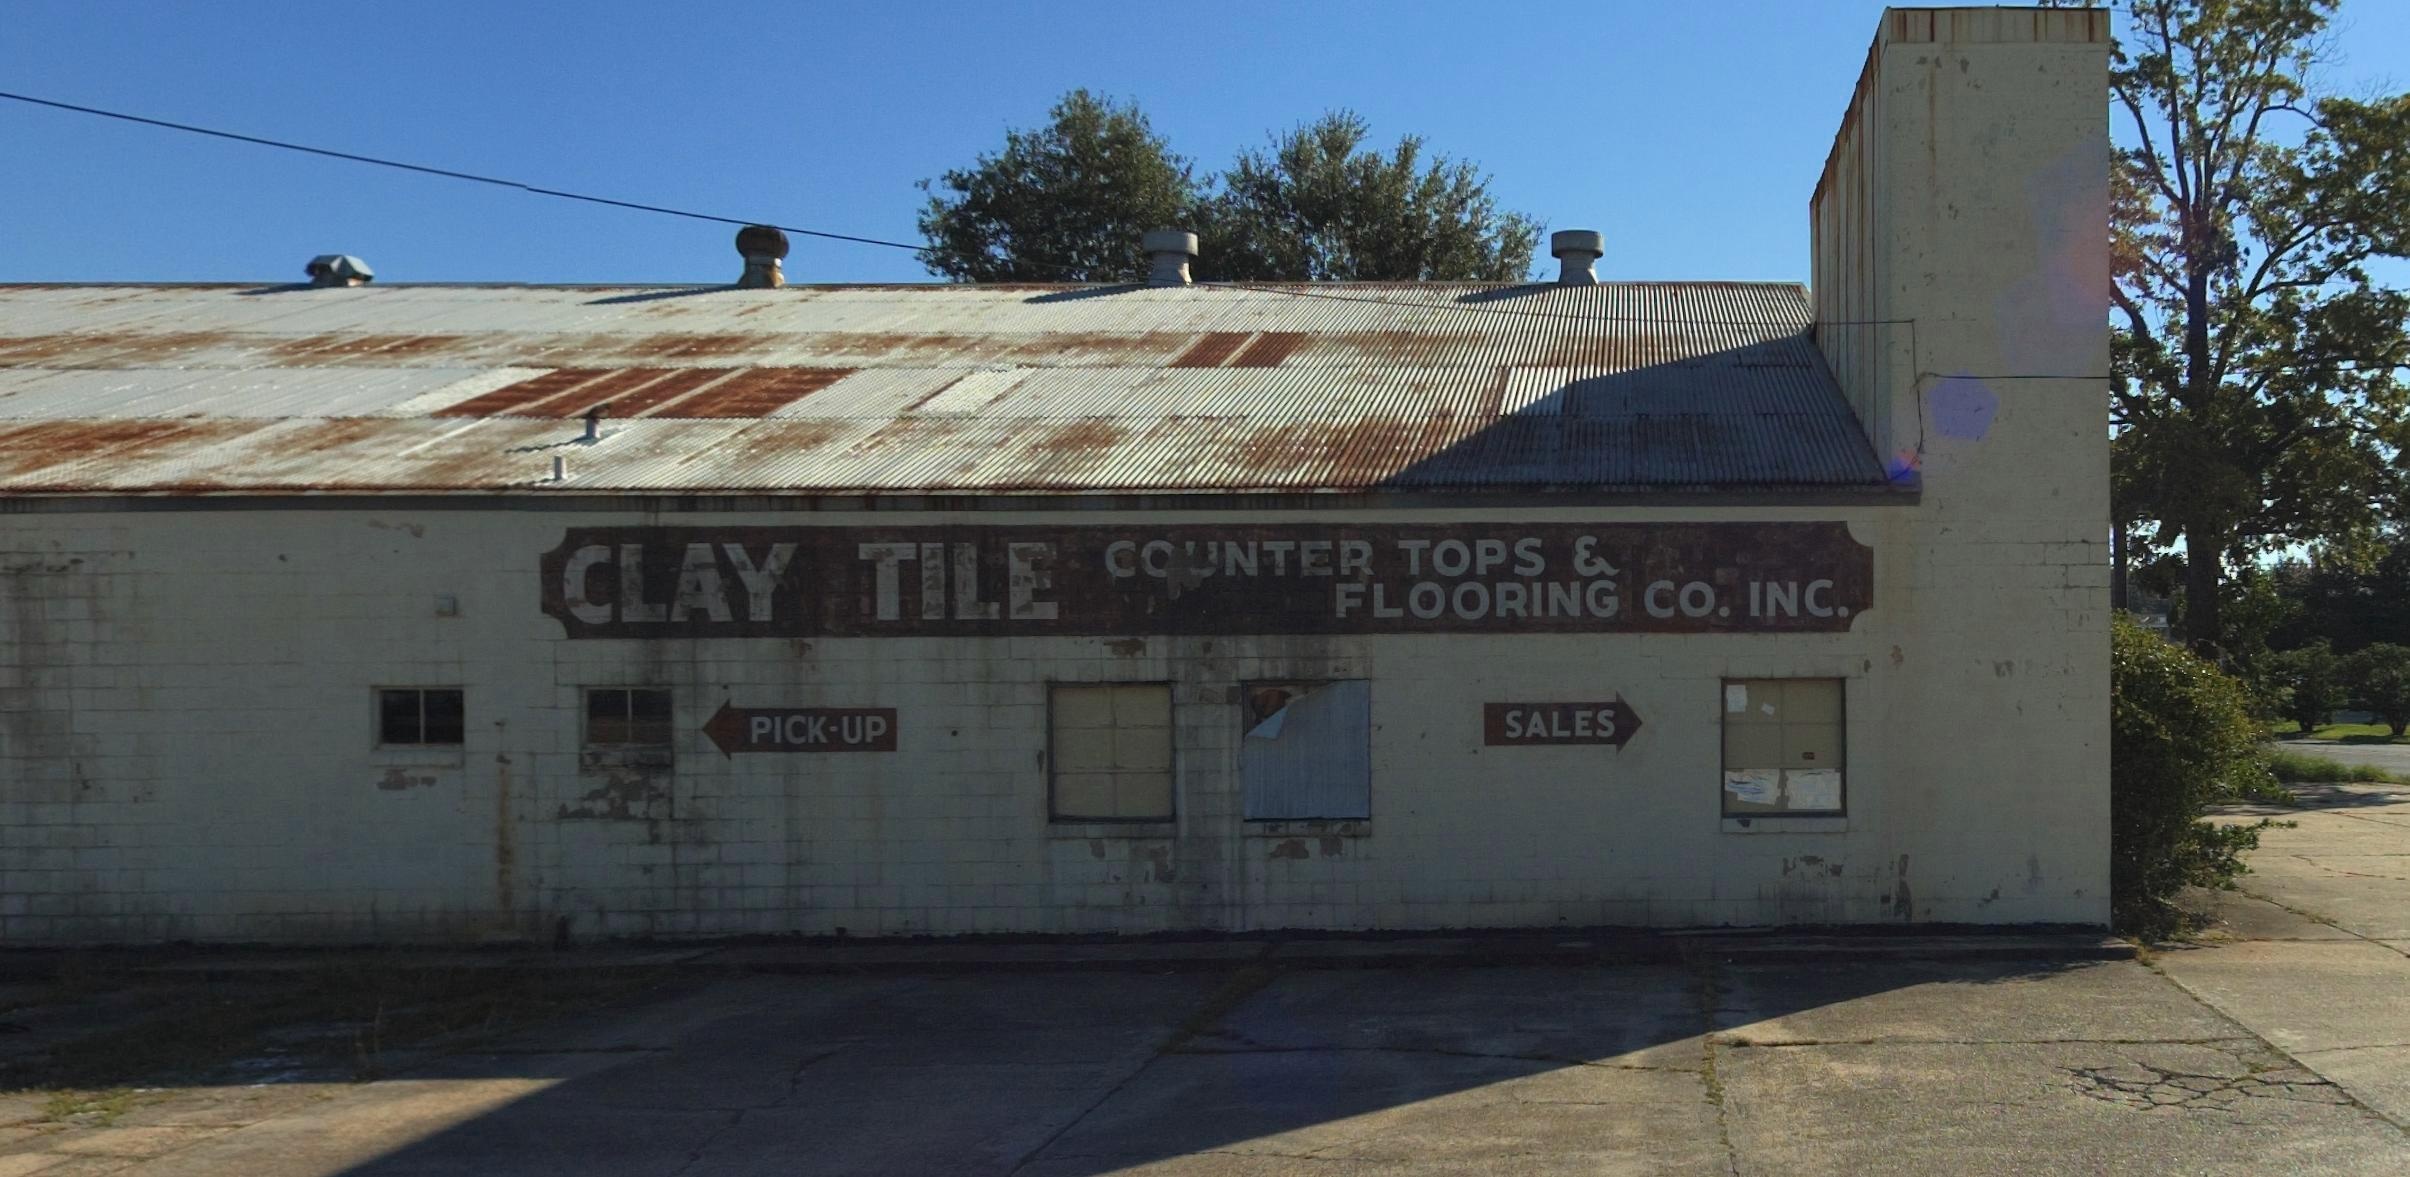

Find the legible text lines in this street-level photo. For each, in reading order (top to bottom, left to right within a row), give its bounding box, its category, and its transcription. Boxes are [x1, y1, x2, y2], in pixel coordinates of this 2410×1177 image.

[1103, 534, 1548, 582] BusinessName: C**NTER TOPS
[557, 537, 1062, 628] BusinessName: CLAY TILE
[1332, 575, 1852, 622] BusinessName: FLOORING CO. INC.
[748, 712, 890, 747] None: PICK-UP
[1503, 707, 1618, 742] None: SALES